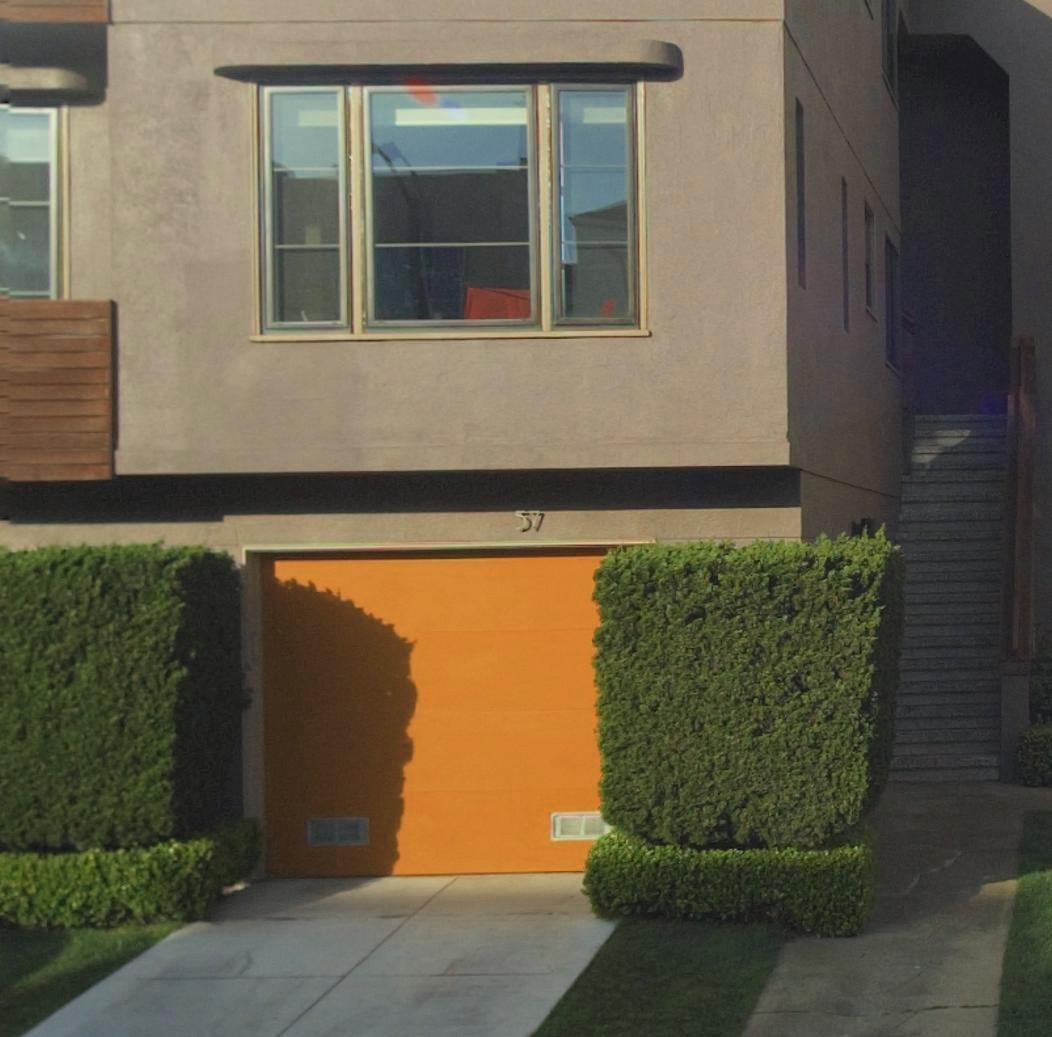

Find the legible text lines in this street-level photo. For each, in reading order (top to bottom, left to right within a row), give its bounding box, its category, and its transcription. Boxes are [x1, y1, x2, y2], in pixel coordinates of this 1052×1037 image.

[513, 508, 544, 532] StreetNumber: 57